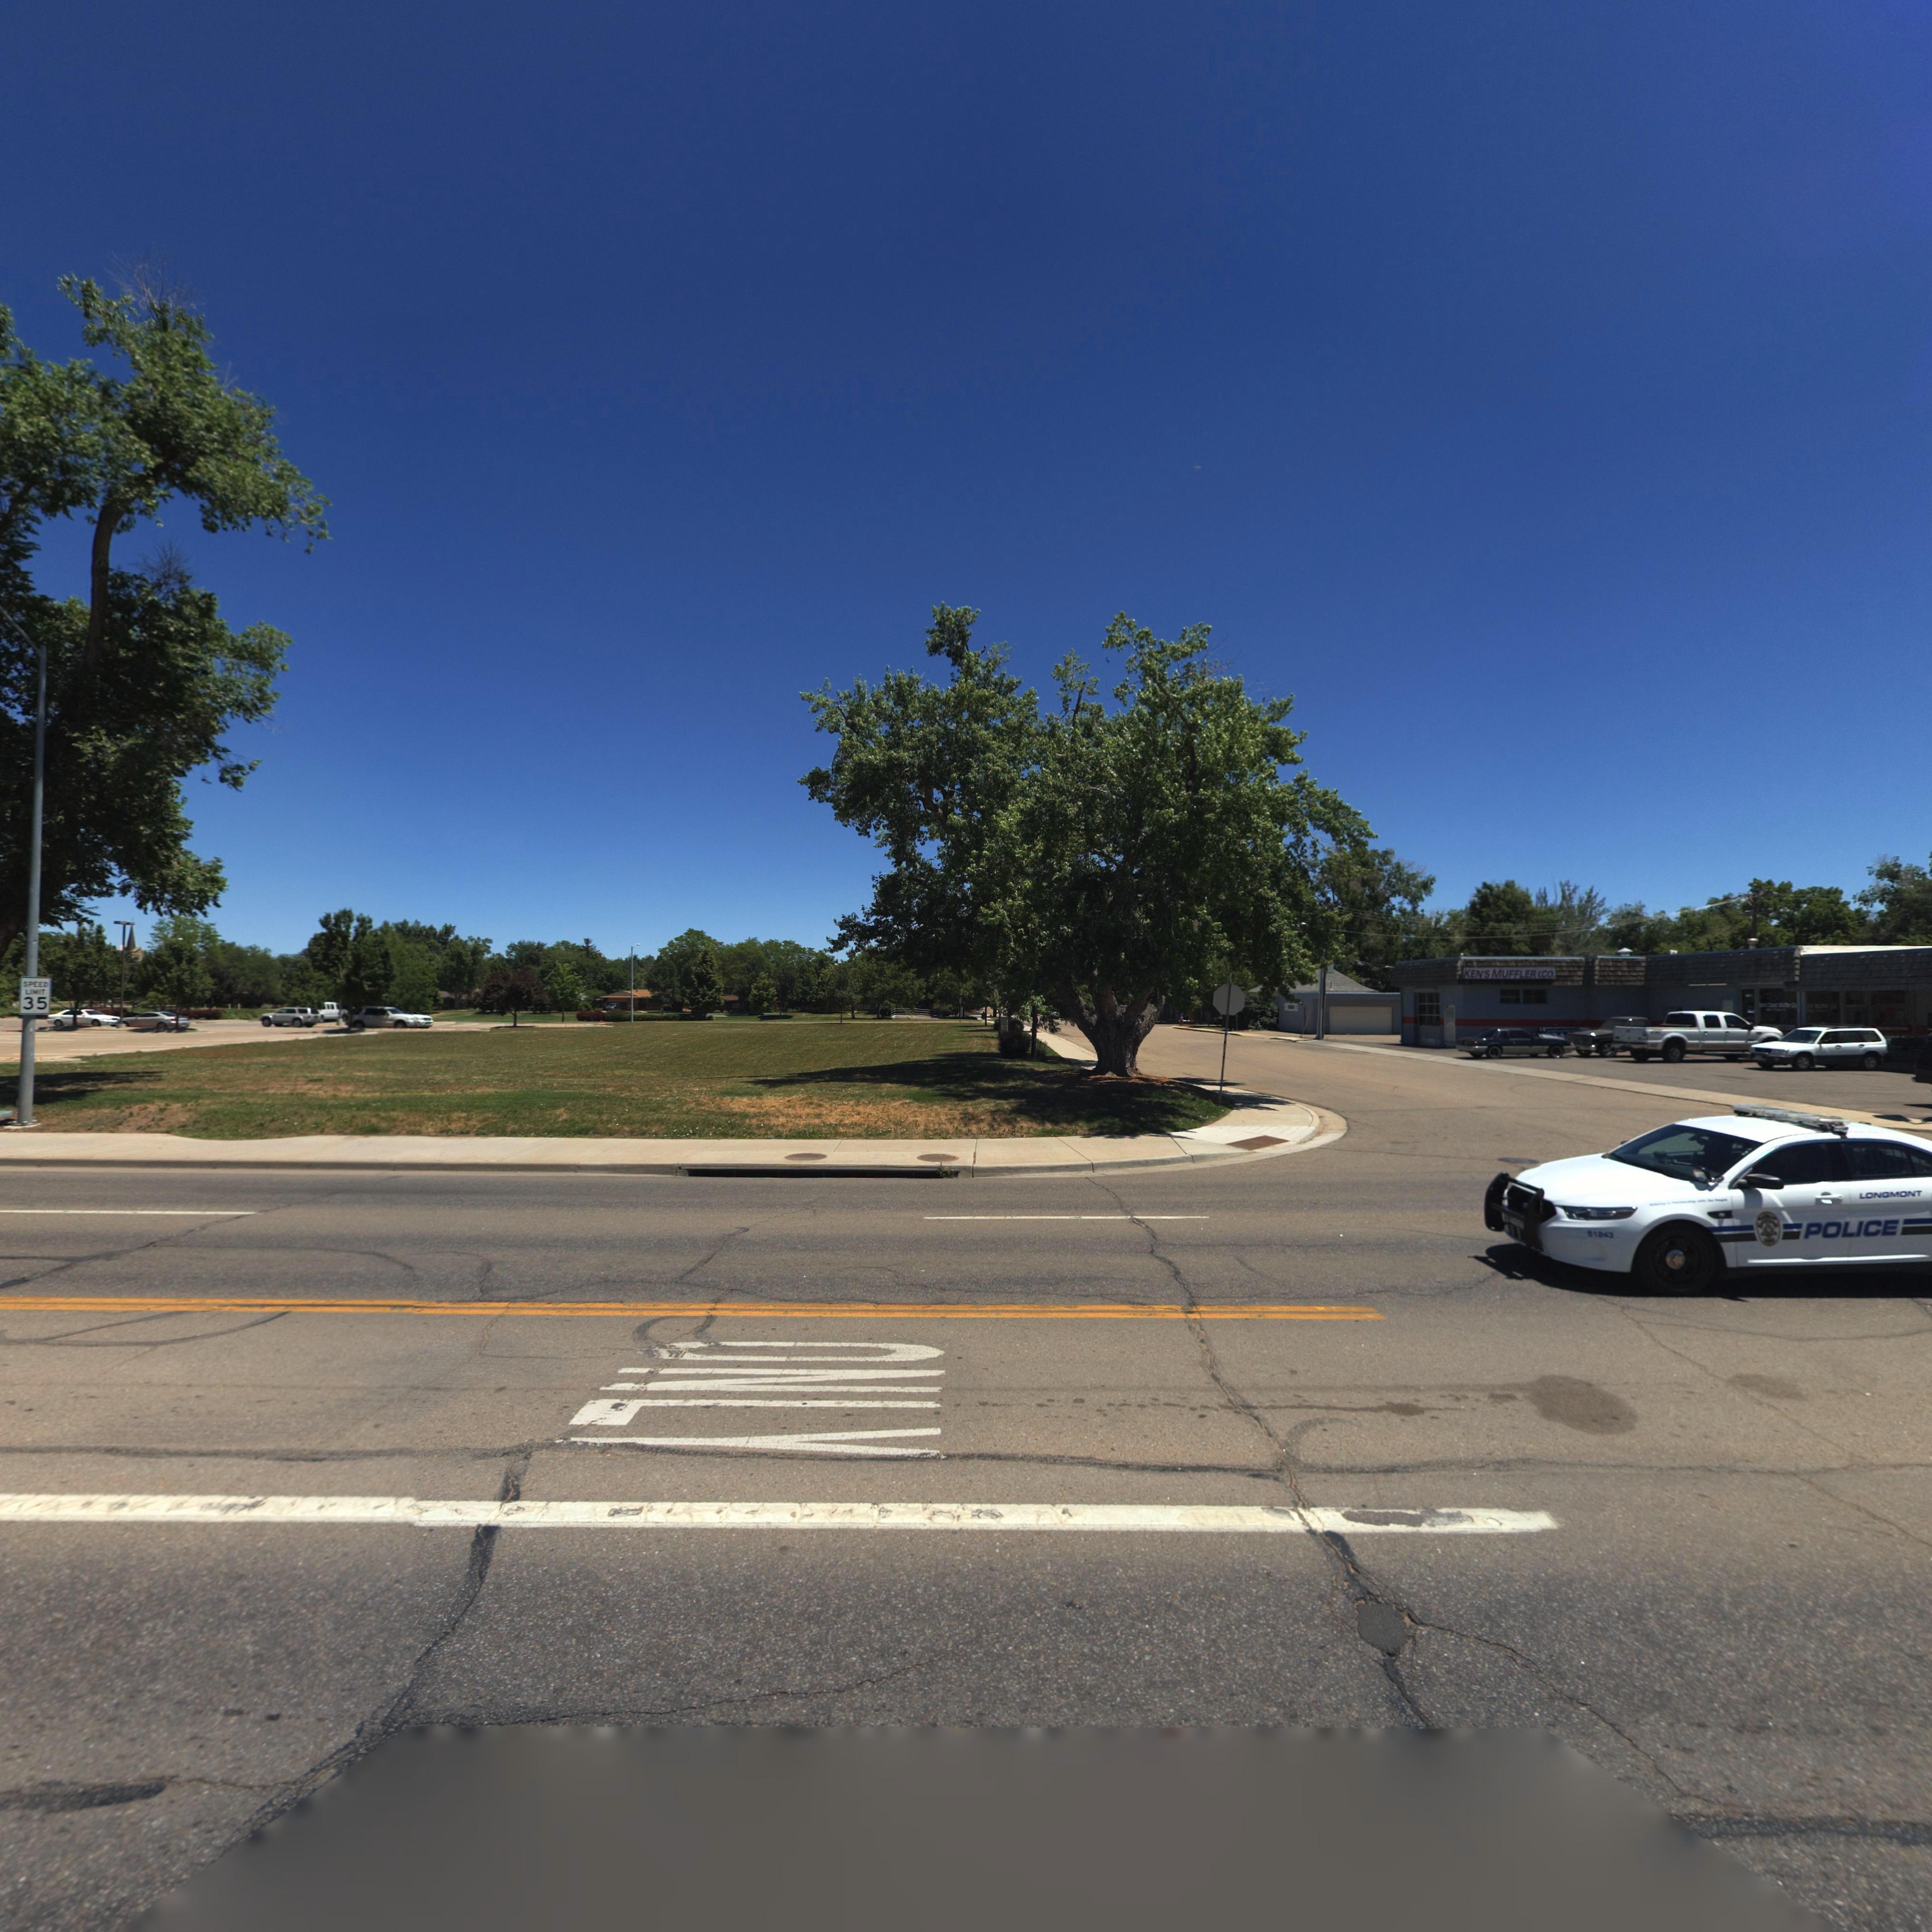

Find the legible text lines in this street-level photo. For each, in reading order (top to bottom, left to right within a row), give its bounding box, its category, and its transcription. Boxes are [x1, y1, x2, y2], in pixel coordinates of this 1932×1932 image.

[1463, 969, 1555, 978] BusinessName: KEN'S MUFFLER CO